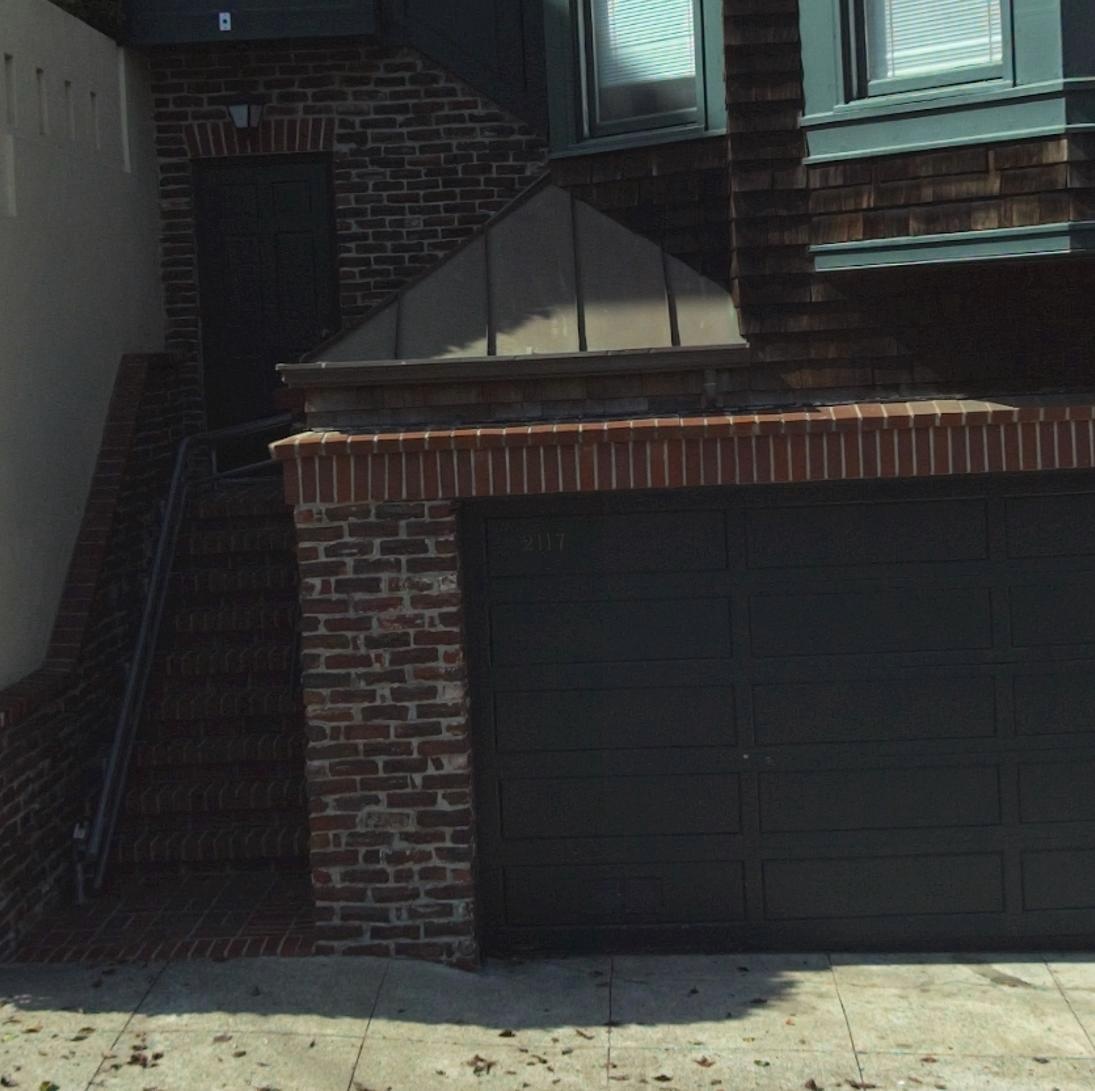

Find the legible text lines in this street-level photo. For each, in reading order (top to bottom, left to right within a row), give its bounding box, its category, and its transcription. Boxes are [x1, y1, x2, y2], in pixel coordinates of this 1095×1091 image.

[521, 531, 567, 552] StreetNumber: 2117